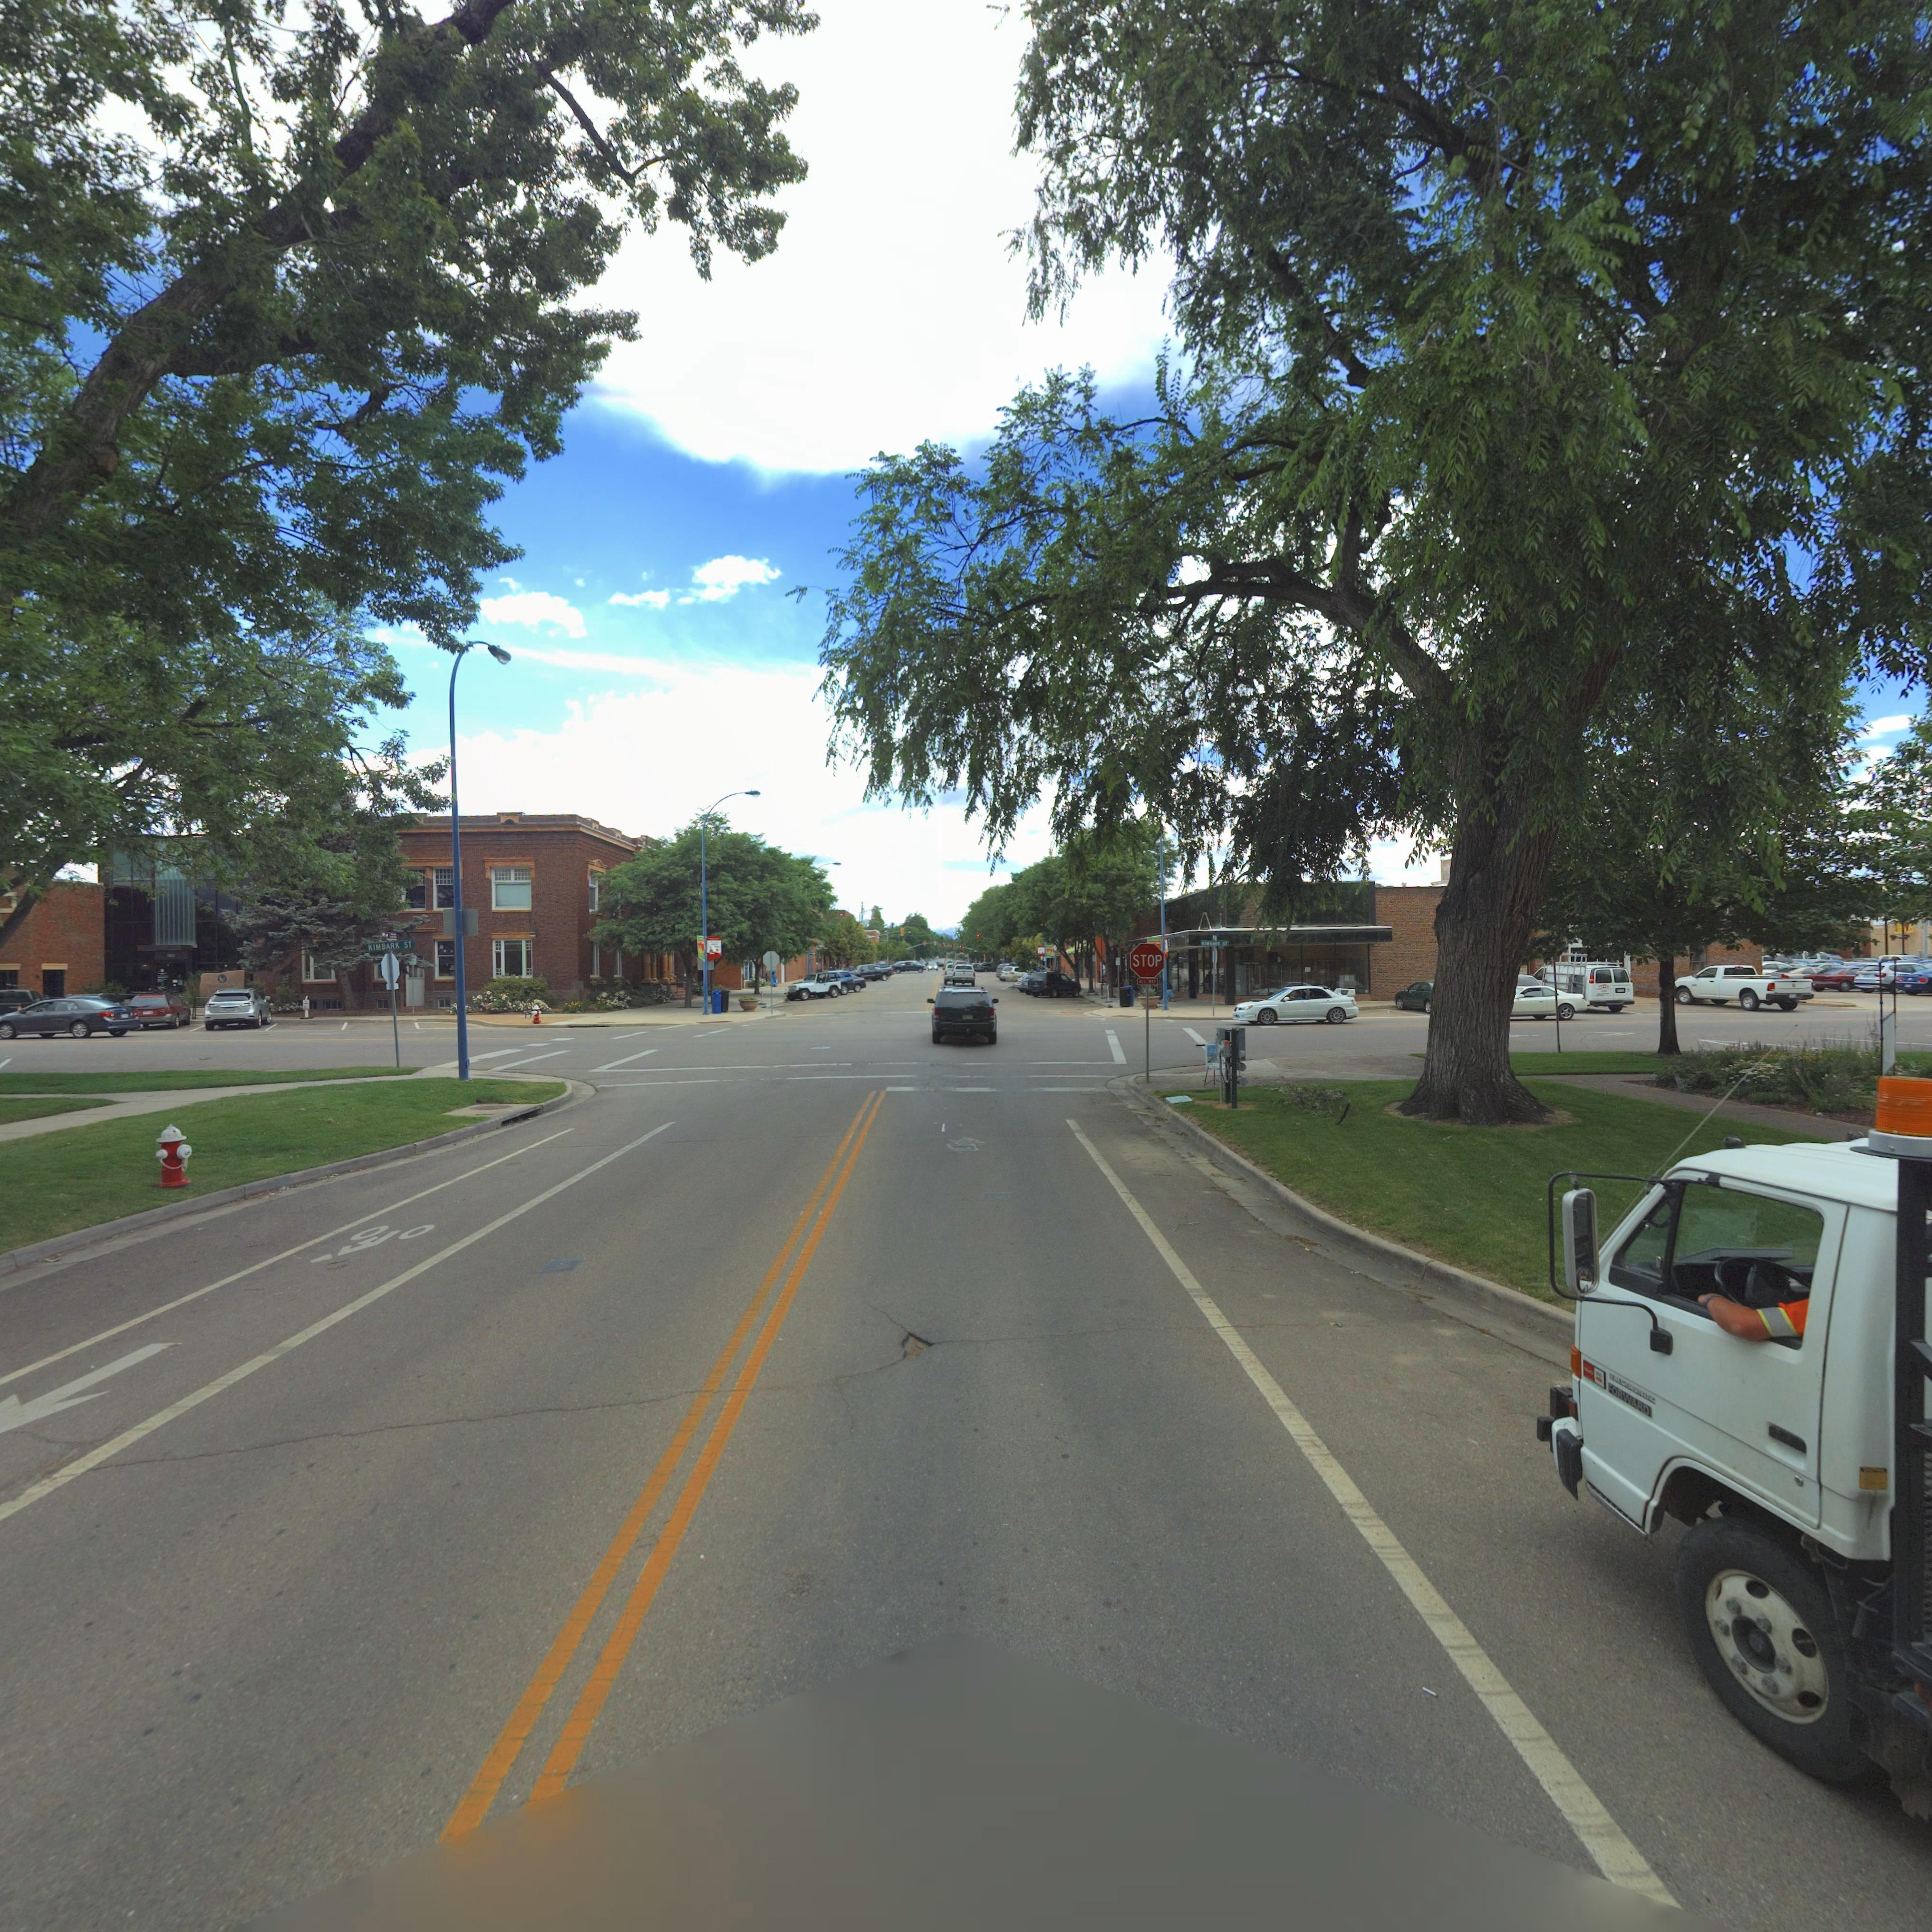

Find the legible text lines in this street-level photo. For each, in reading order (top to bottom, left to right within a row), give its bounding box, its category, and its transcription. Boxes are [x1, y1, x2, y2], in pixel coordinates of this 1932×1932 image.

[368, 941, 411, 951] StreetName: KIMBARK ST
[1201, 941, 1227, 946] StreetName: KINBARK ST